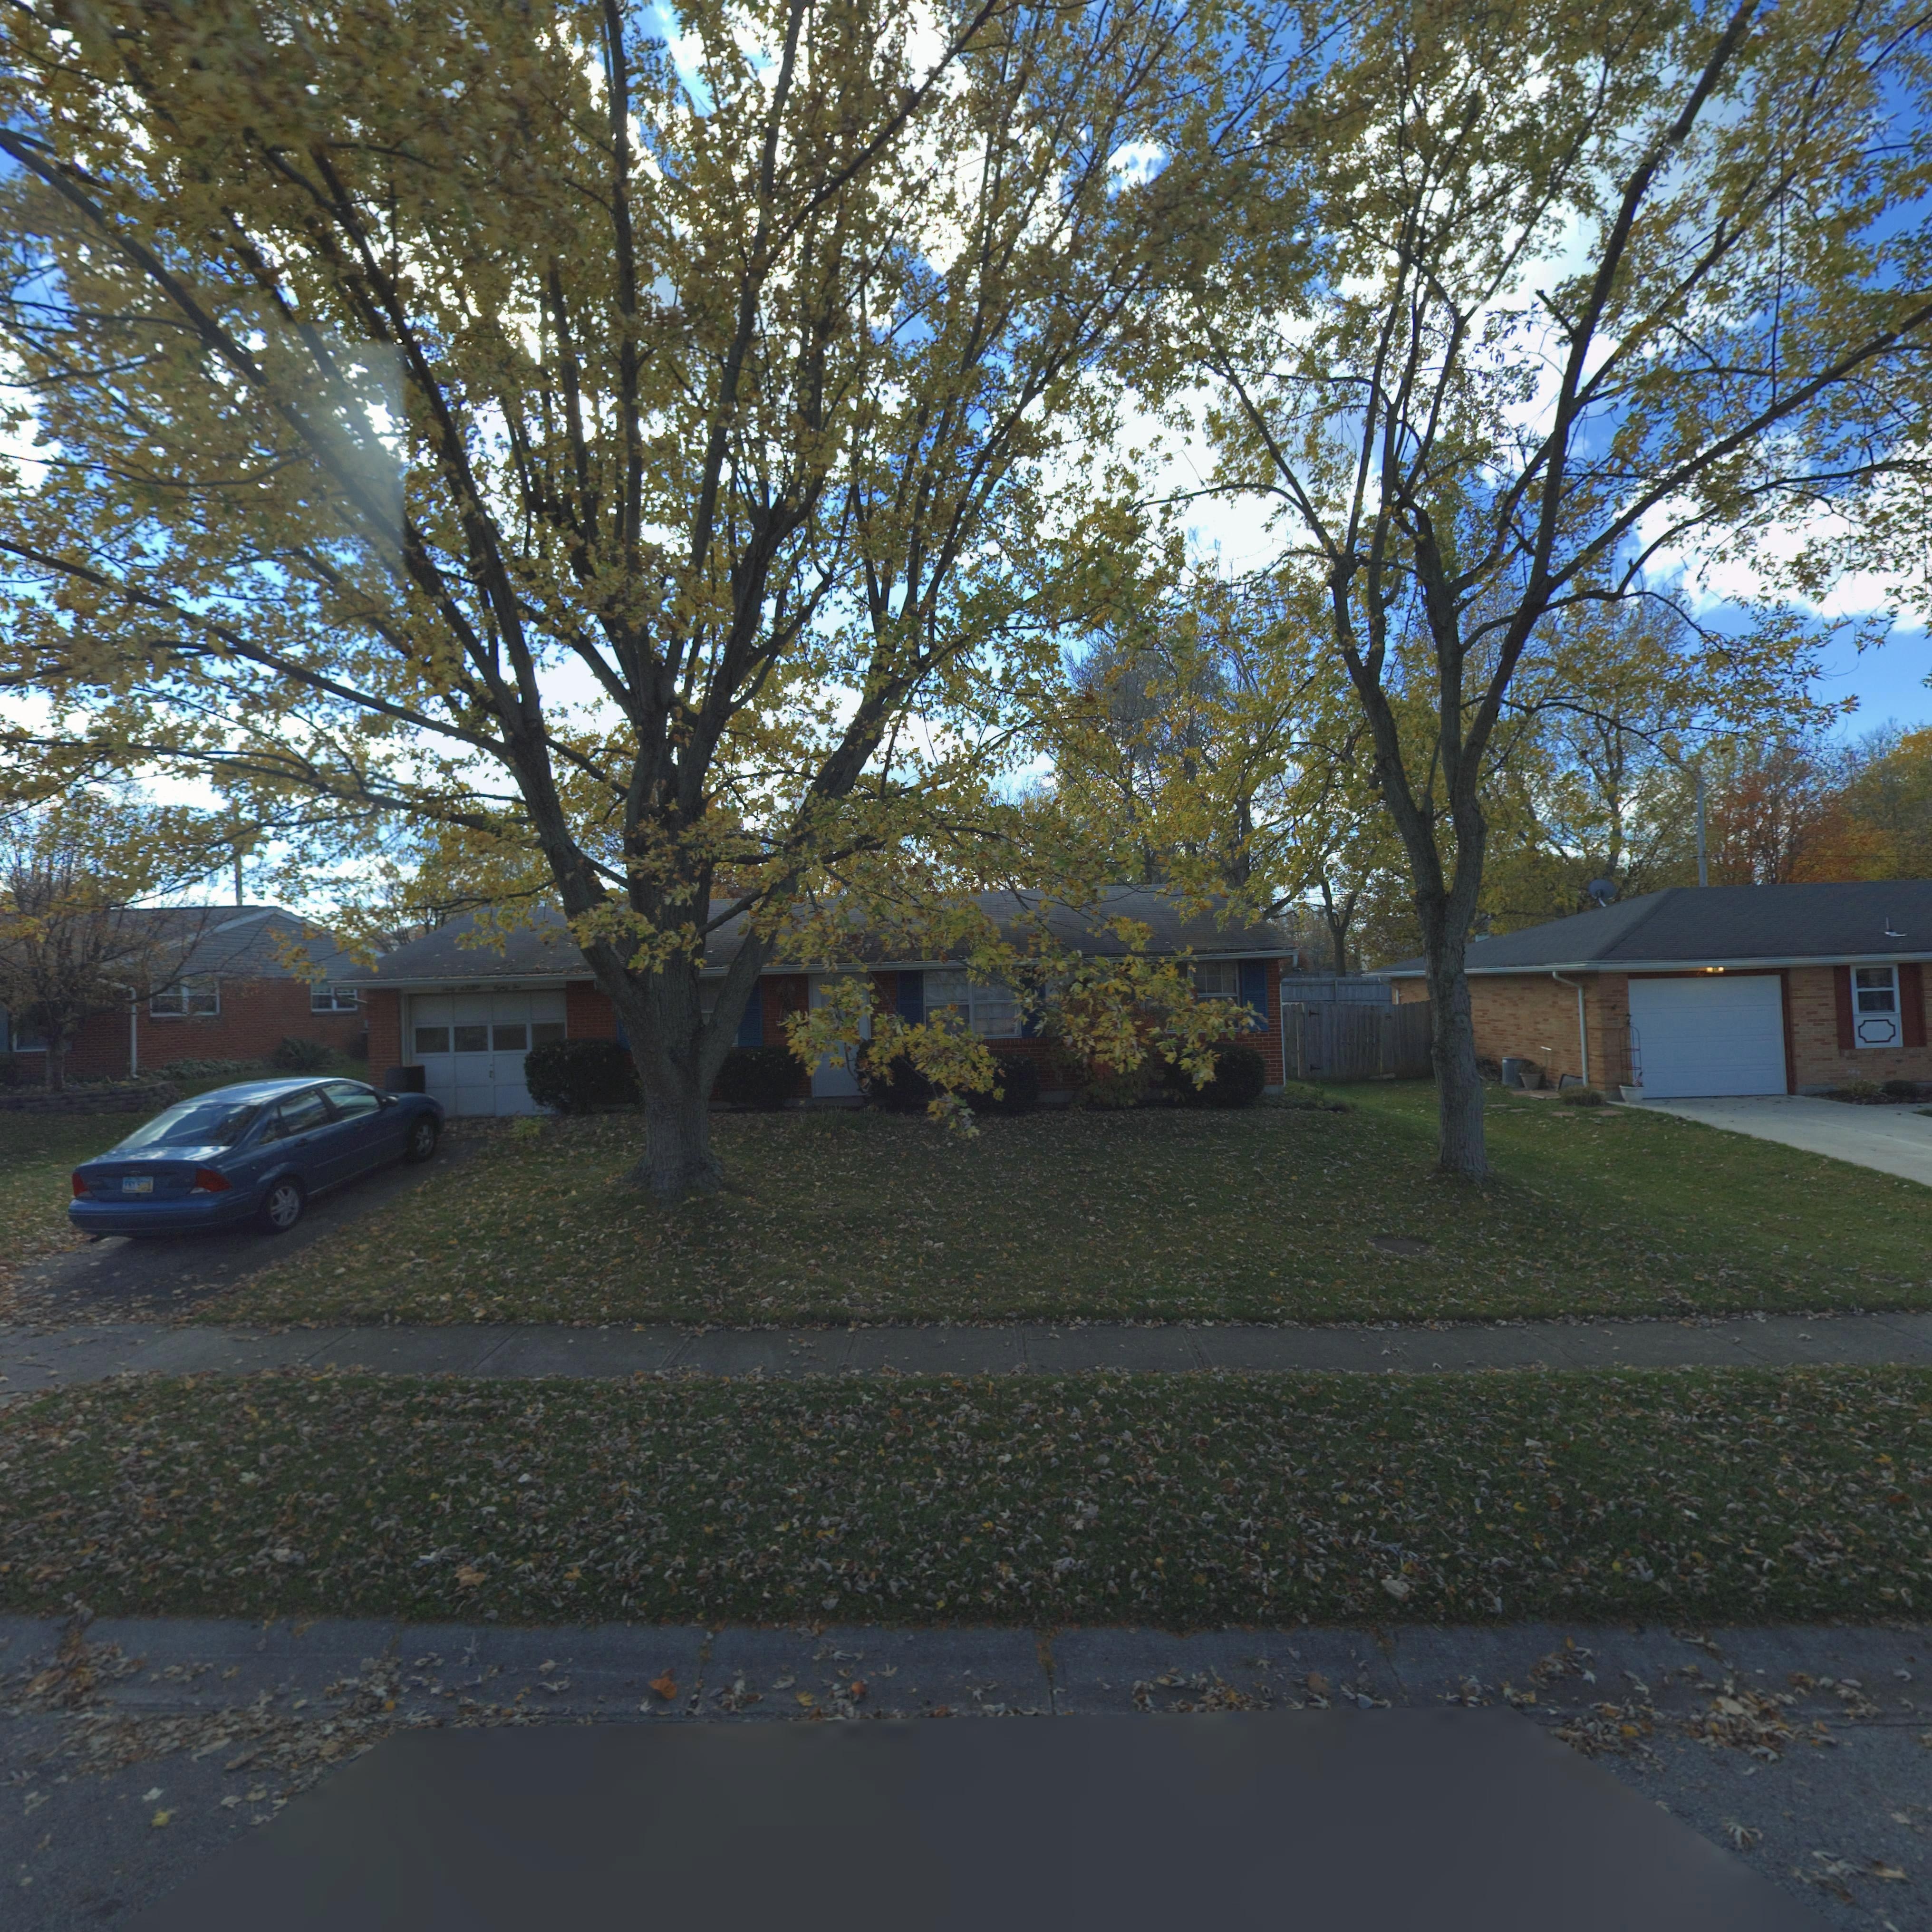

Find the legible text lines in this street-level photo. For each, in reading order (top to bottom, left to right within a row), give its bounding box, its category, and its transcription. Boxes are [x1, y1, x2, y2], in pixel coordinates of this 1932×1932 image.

[493, 983, 522, 992] StreetNumber: Eighty Two